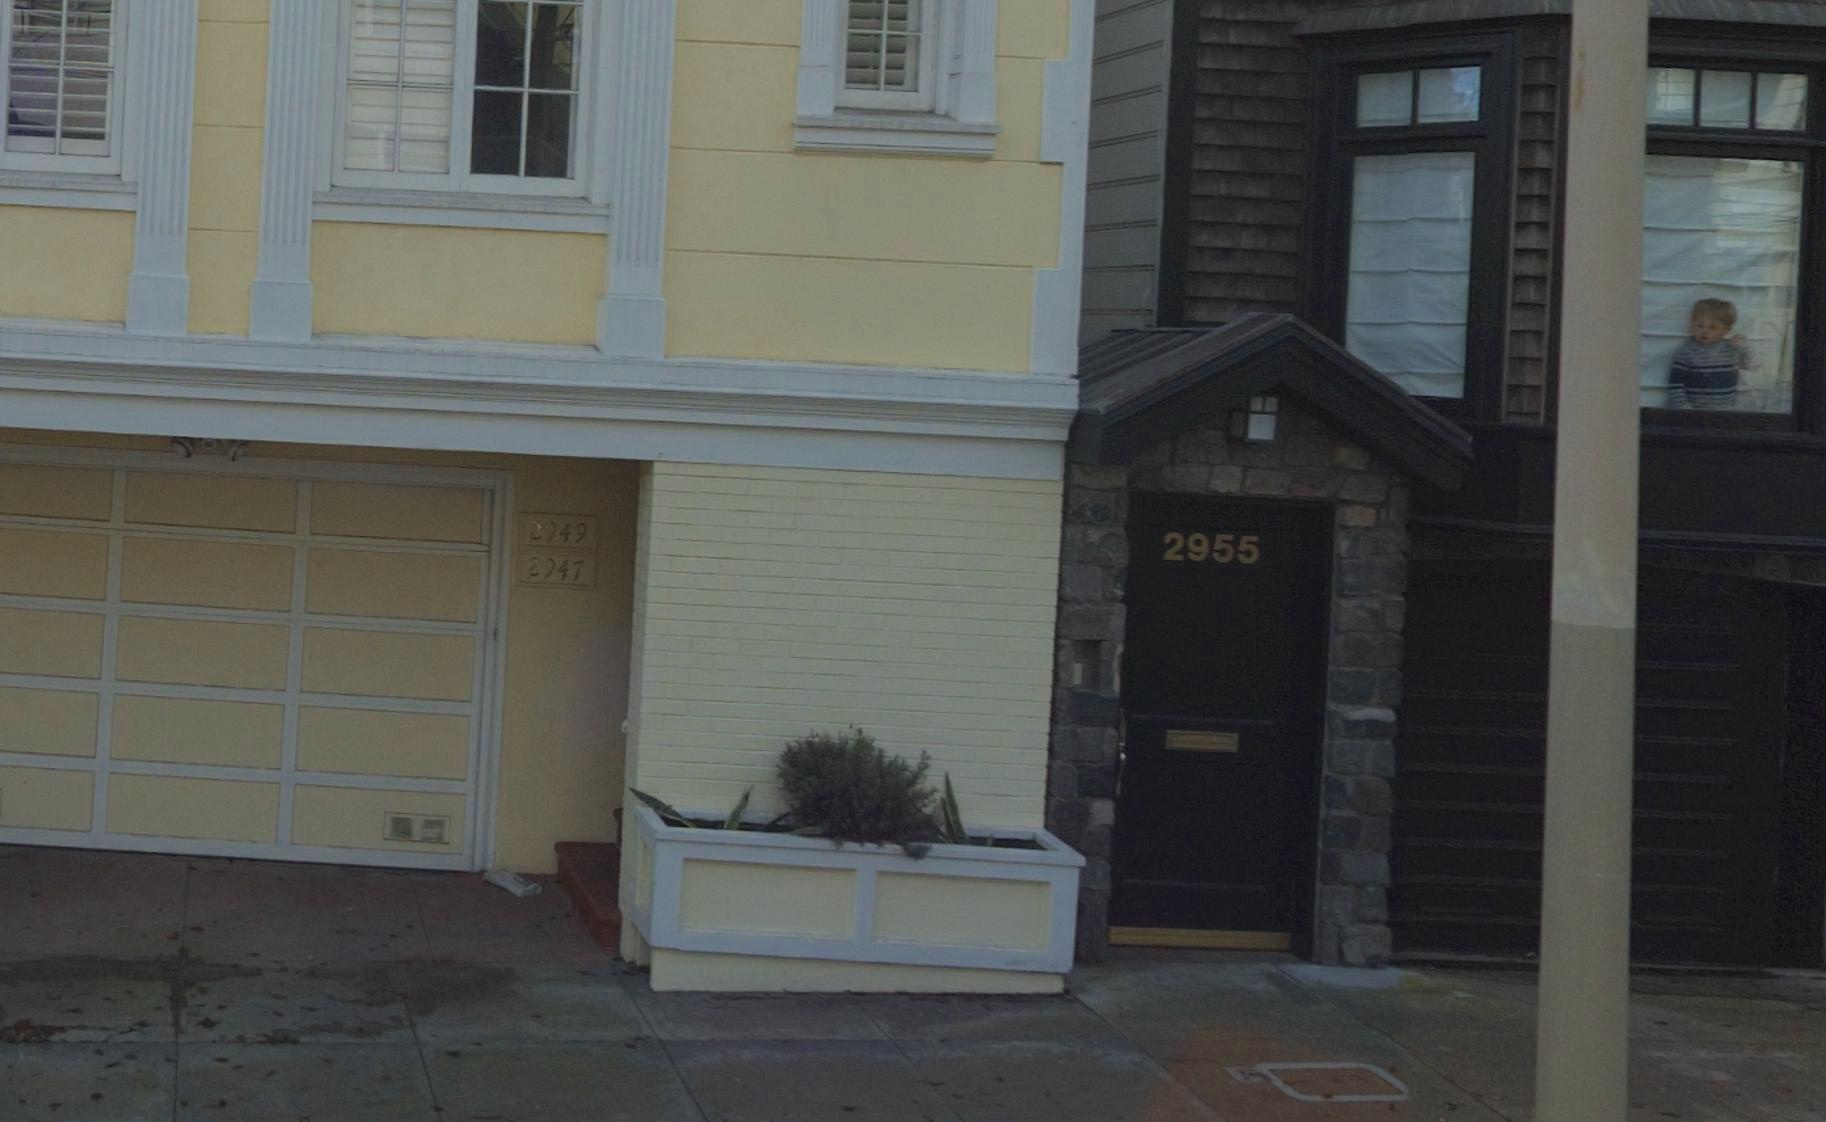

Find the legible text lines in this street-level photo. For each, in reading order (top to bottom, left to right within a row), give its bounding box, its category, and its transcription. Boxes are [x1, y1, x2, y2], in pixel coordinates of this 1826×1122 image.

[525, 516, 592, 548] StreetNumber: 2949
[1159, 528, 1263, 568] StreetNumber: 2955
[524, 552, 589, 585] StreetNumber: 2947